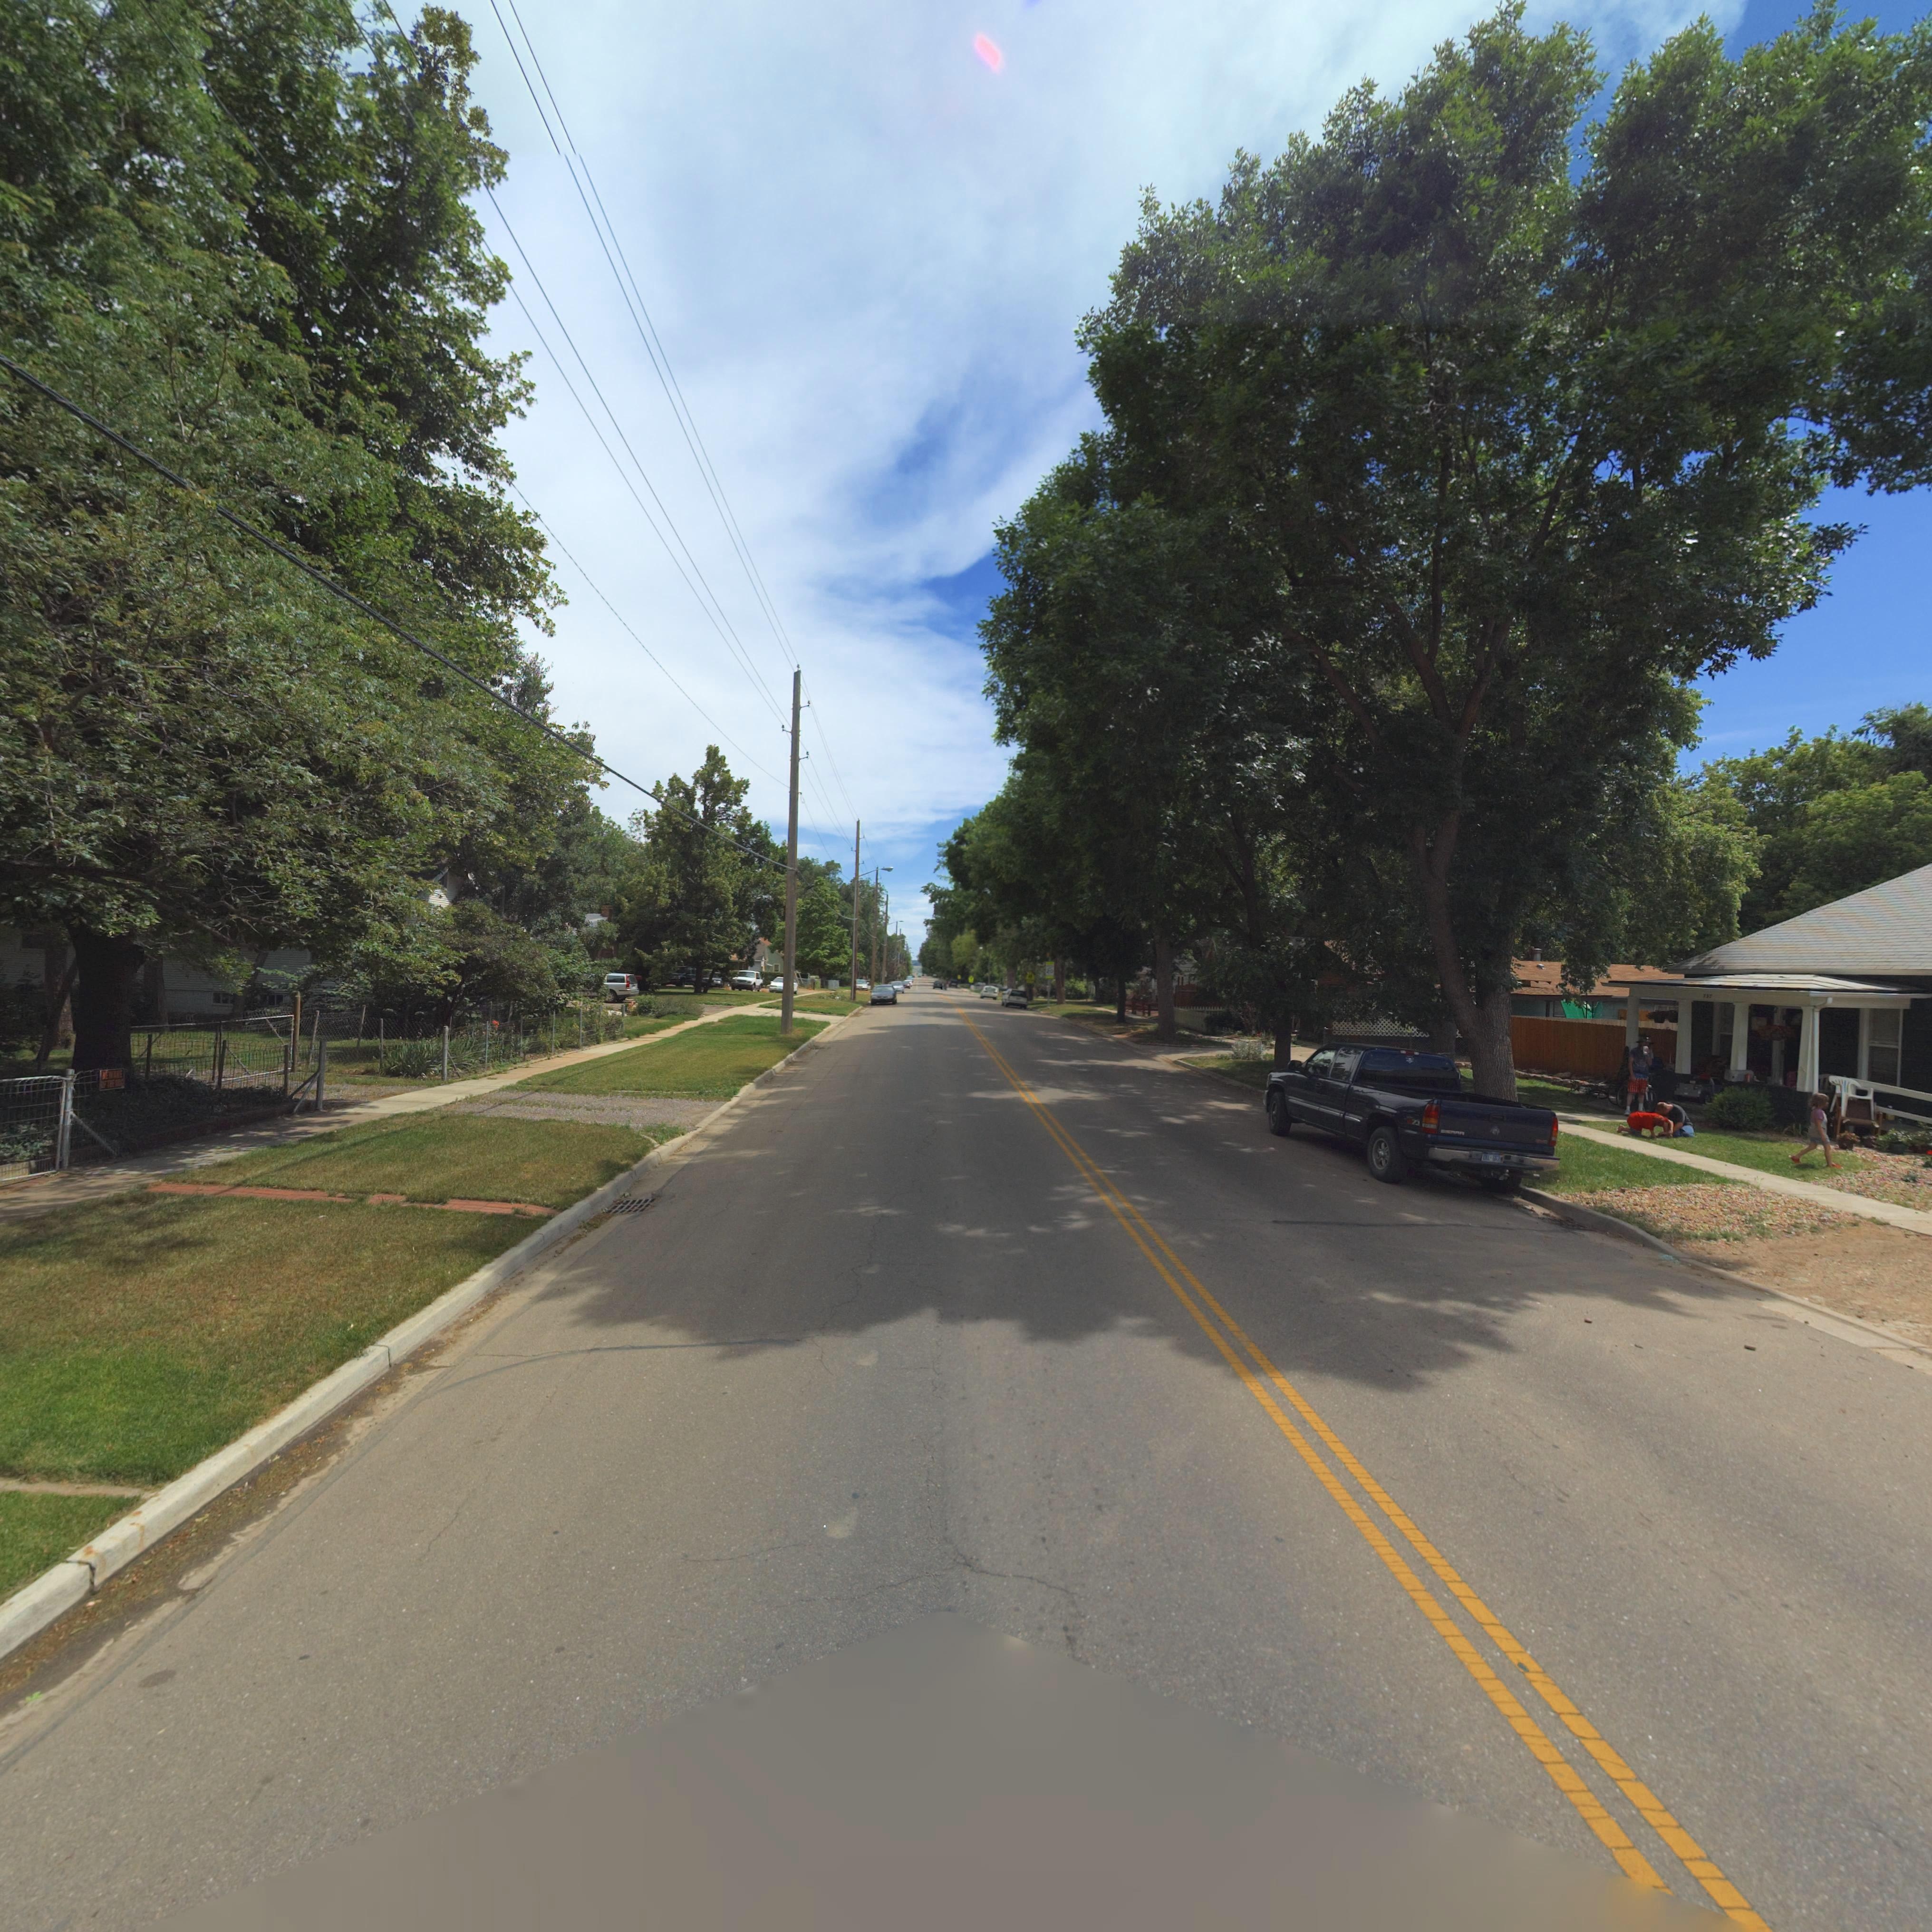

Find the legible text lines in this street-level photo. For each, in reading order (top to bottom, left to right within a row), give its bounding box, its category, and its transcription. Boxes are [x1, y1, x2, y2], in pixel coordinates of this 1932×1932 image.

[1703, 993, 1713, 998] StreetNumber: 737